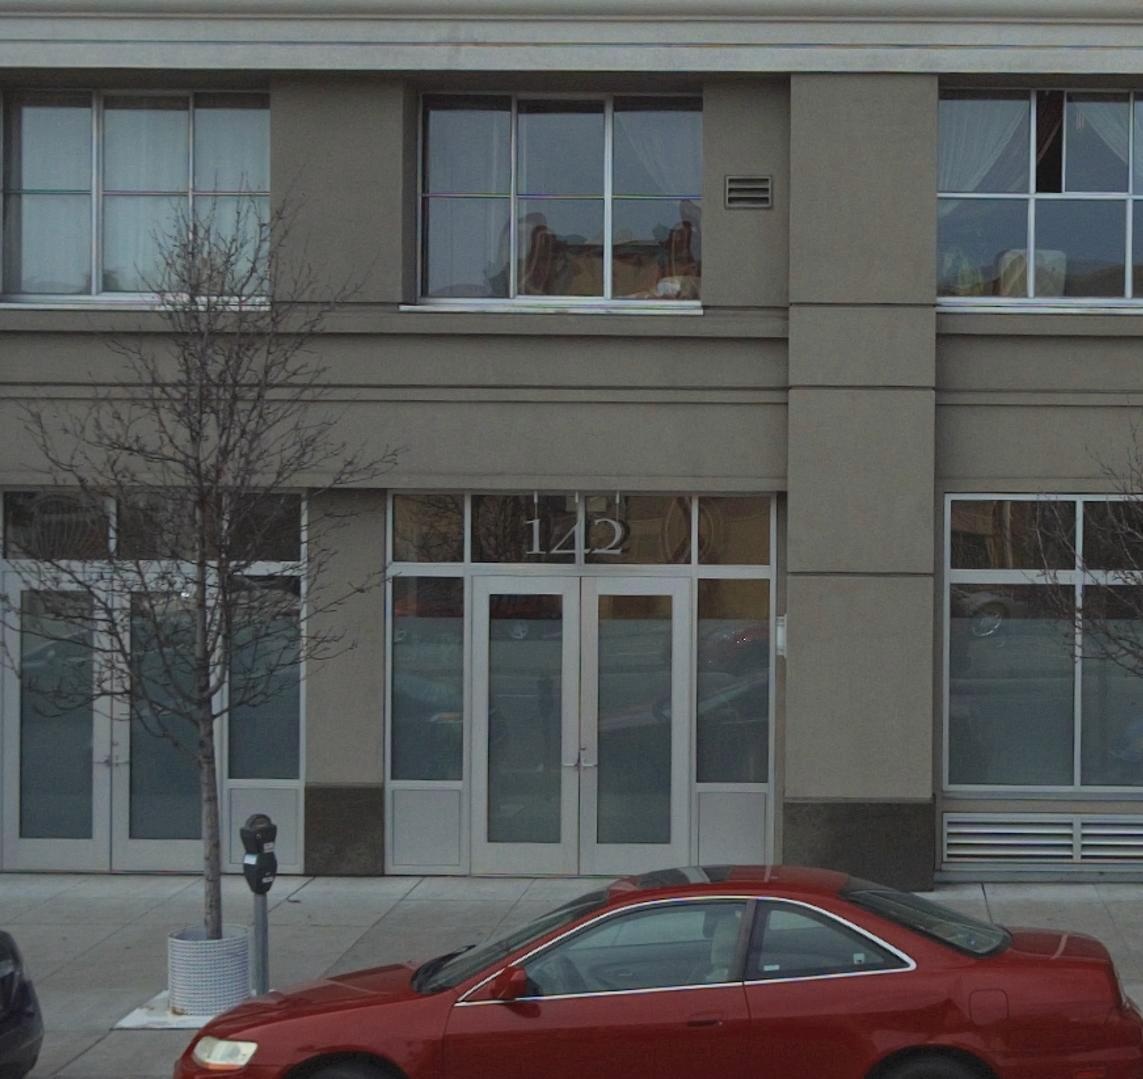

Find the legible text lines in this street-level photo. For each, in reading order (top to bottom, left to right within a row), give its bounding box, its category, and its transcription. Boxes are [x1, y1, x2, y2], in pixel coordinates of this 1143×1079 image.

[525, 519, 624, 563] StreetNumber: 142